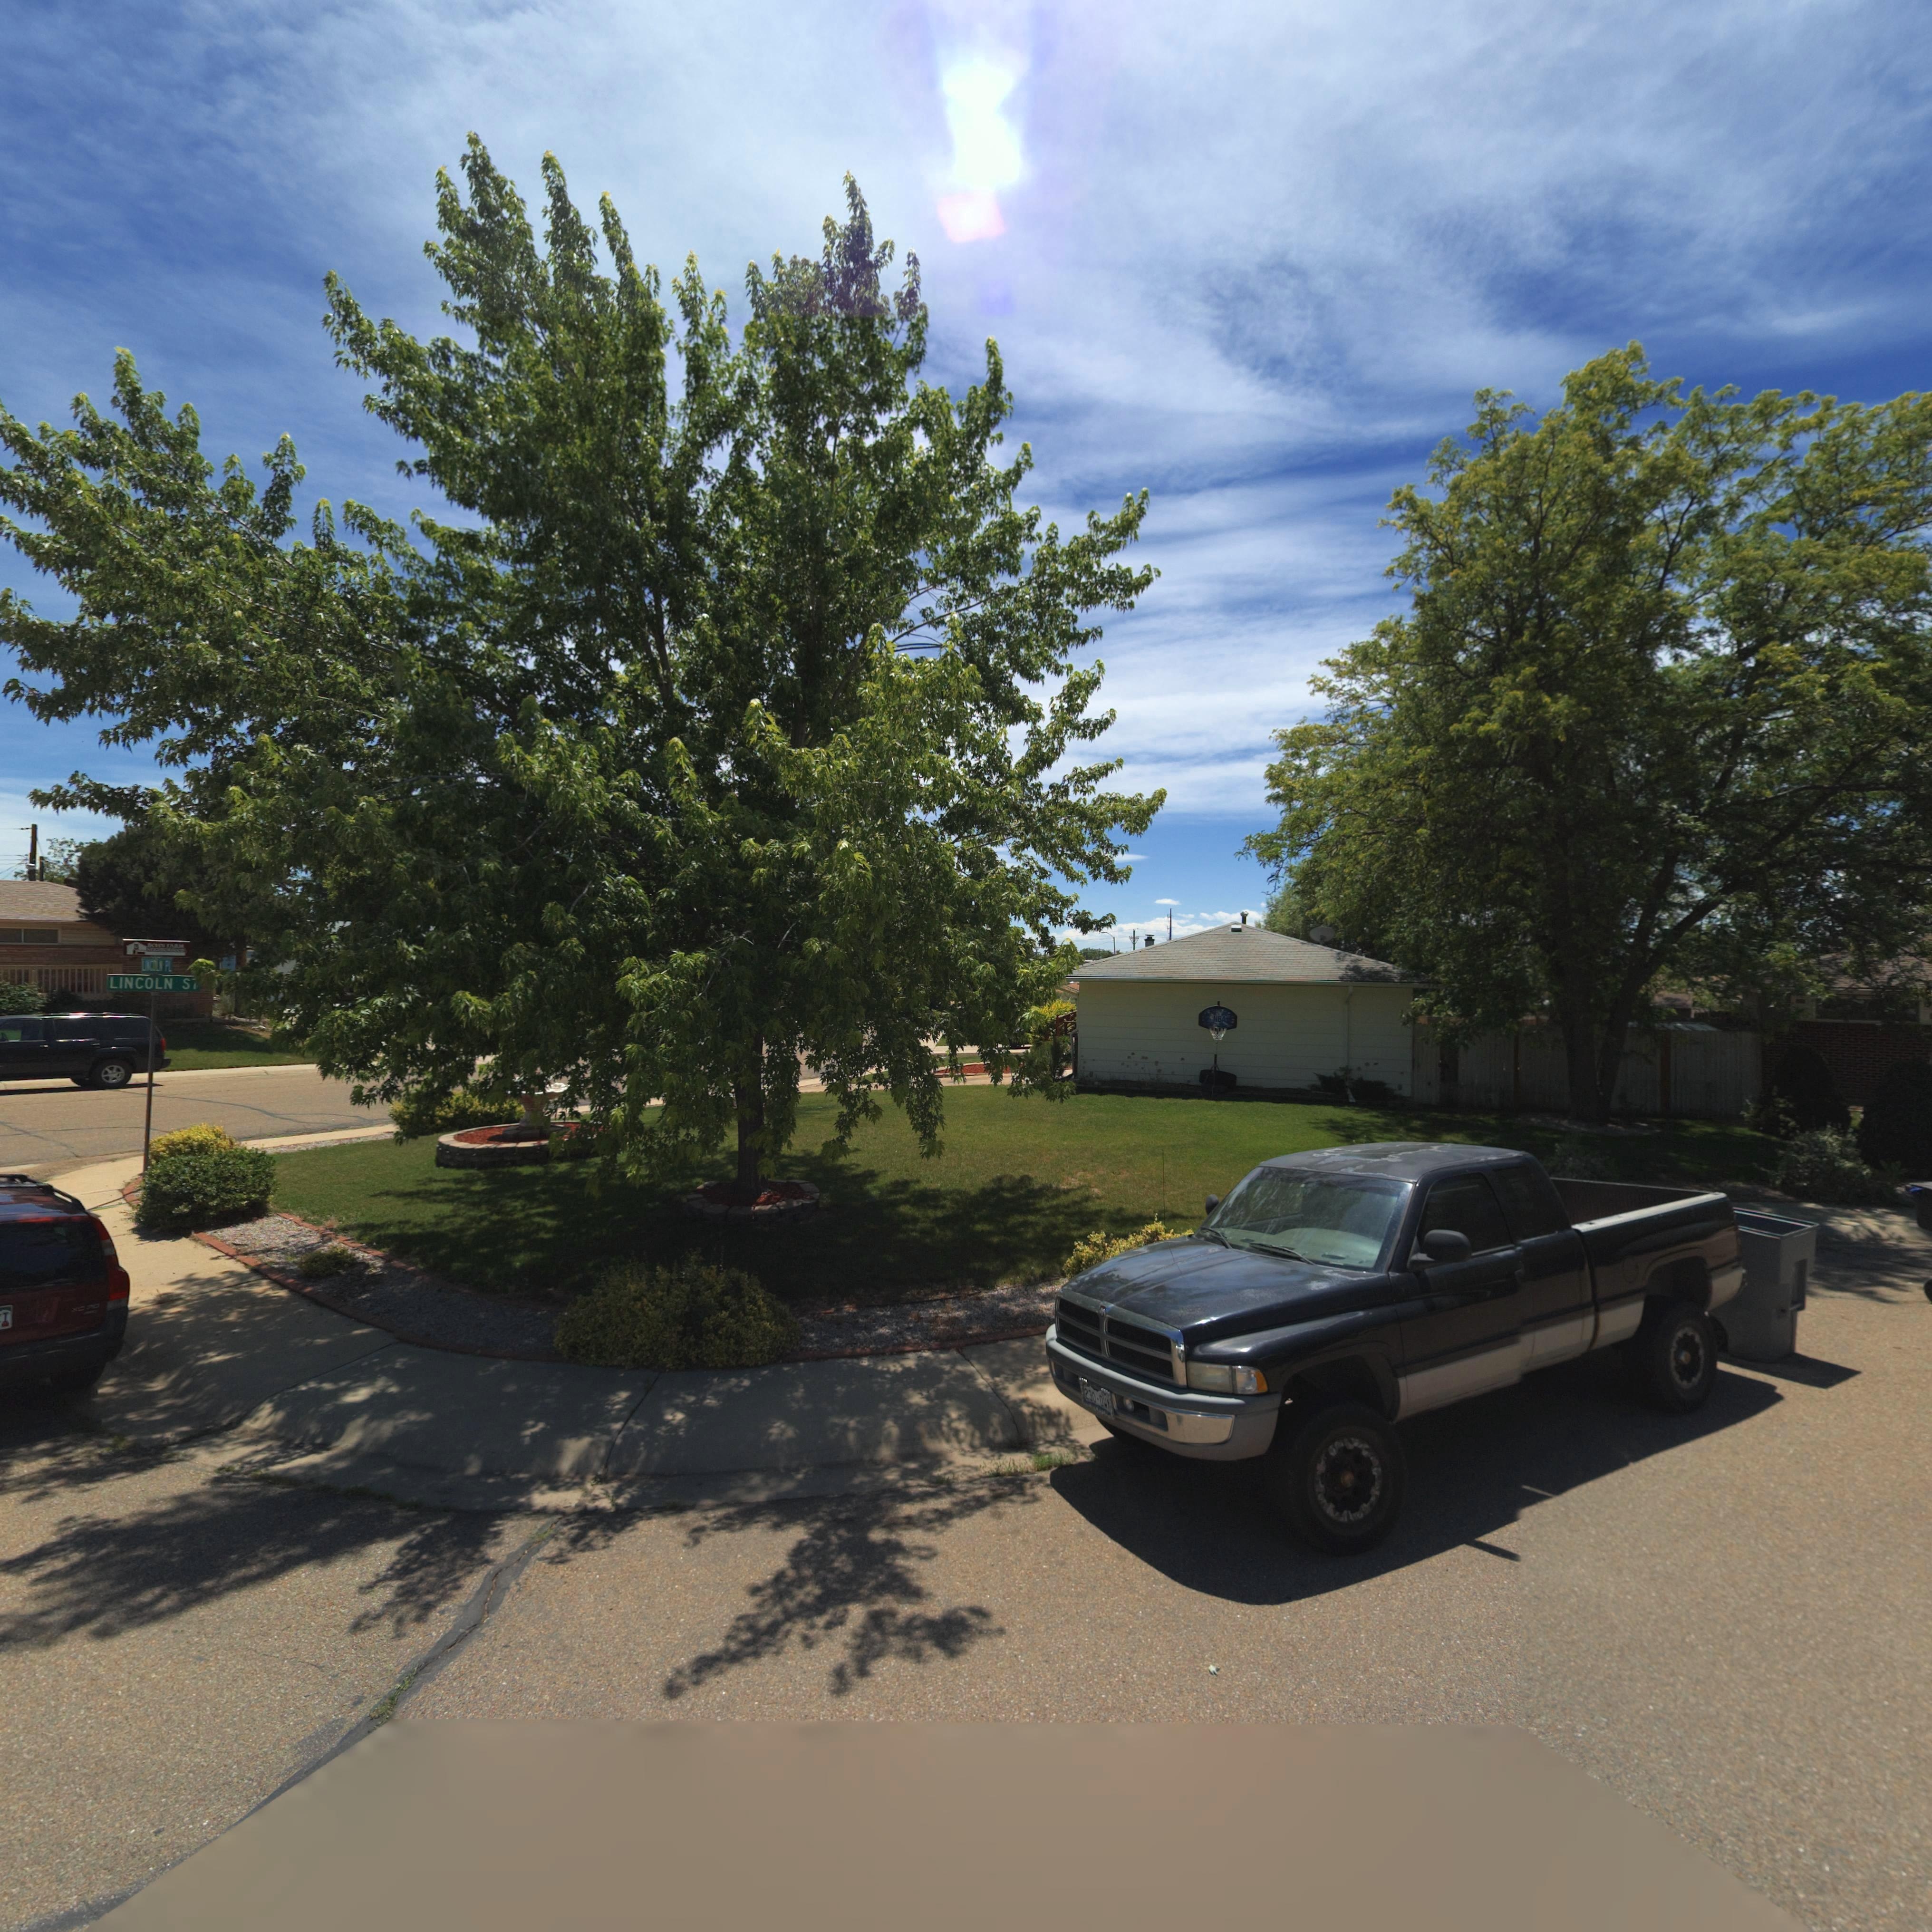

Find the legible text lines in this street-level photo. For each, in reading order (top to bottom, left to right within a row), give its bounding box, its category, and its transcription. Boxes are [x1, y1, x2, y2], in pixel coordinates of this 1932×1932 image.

[141, 960, 172, 972] StreetName: LI*C*LN PL
[109, 976, 199, 990] StreetName: LINCOLN S*